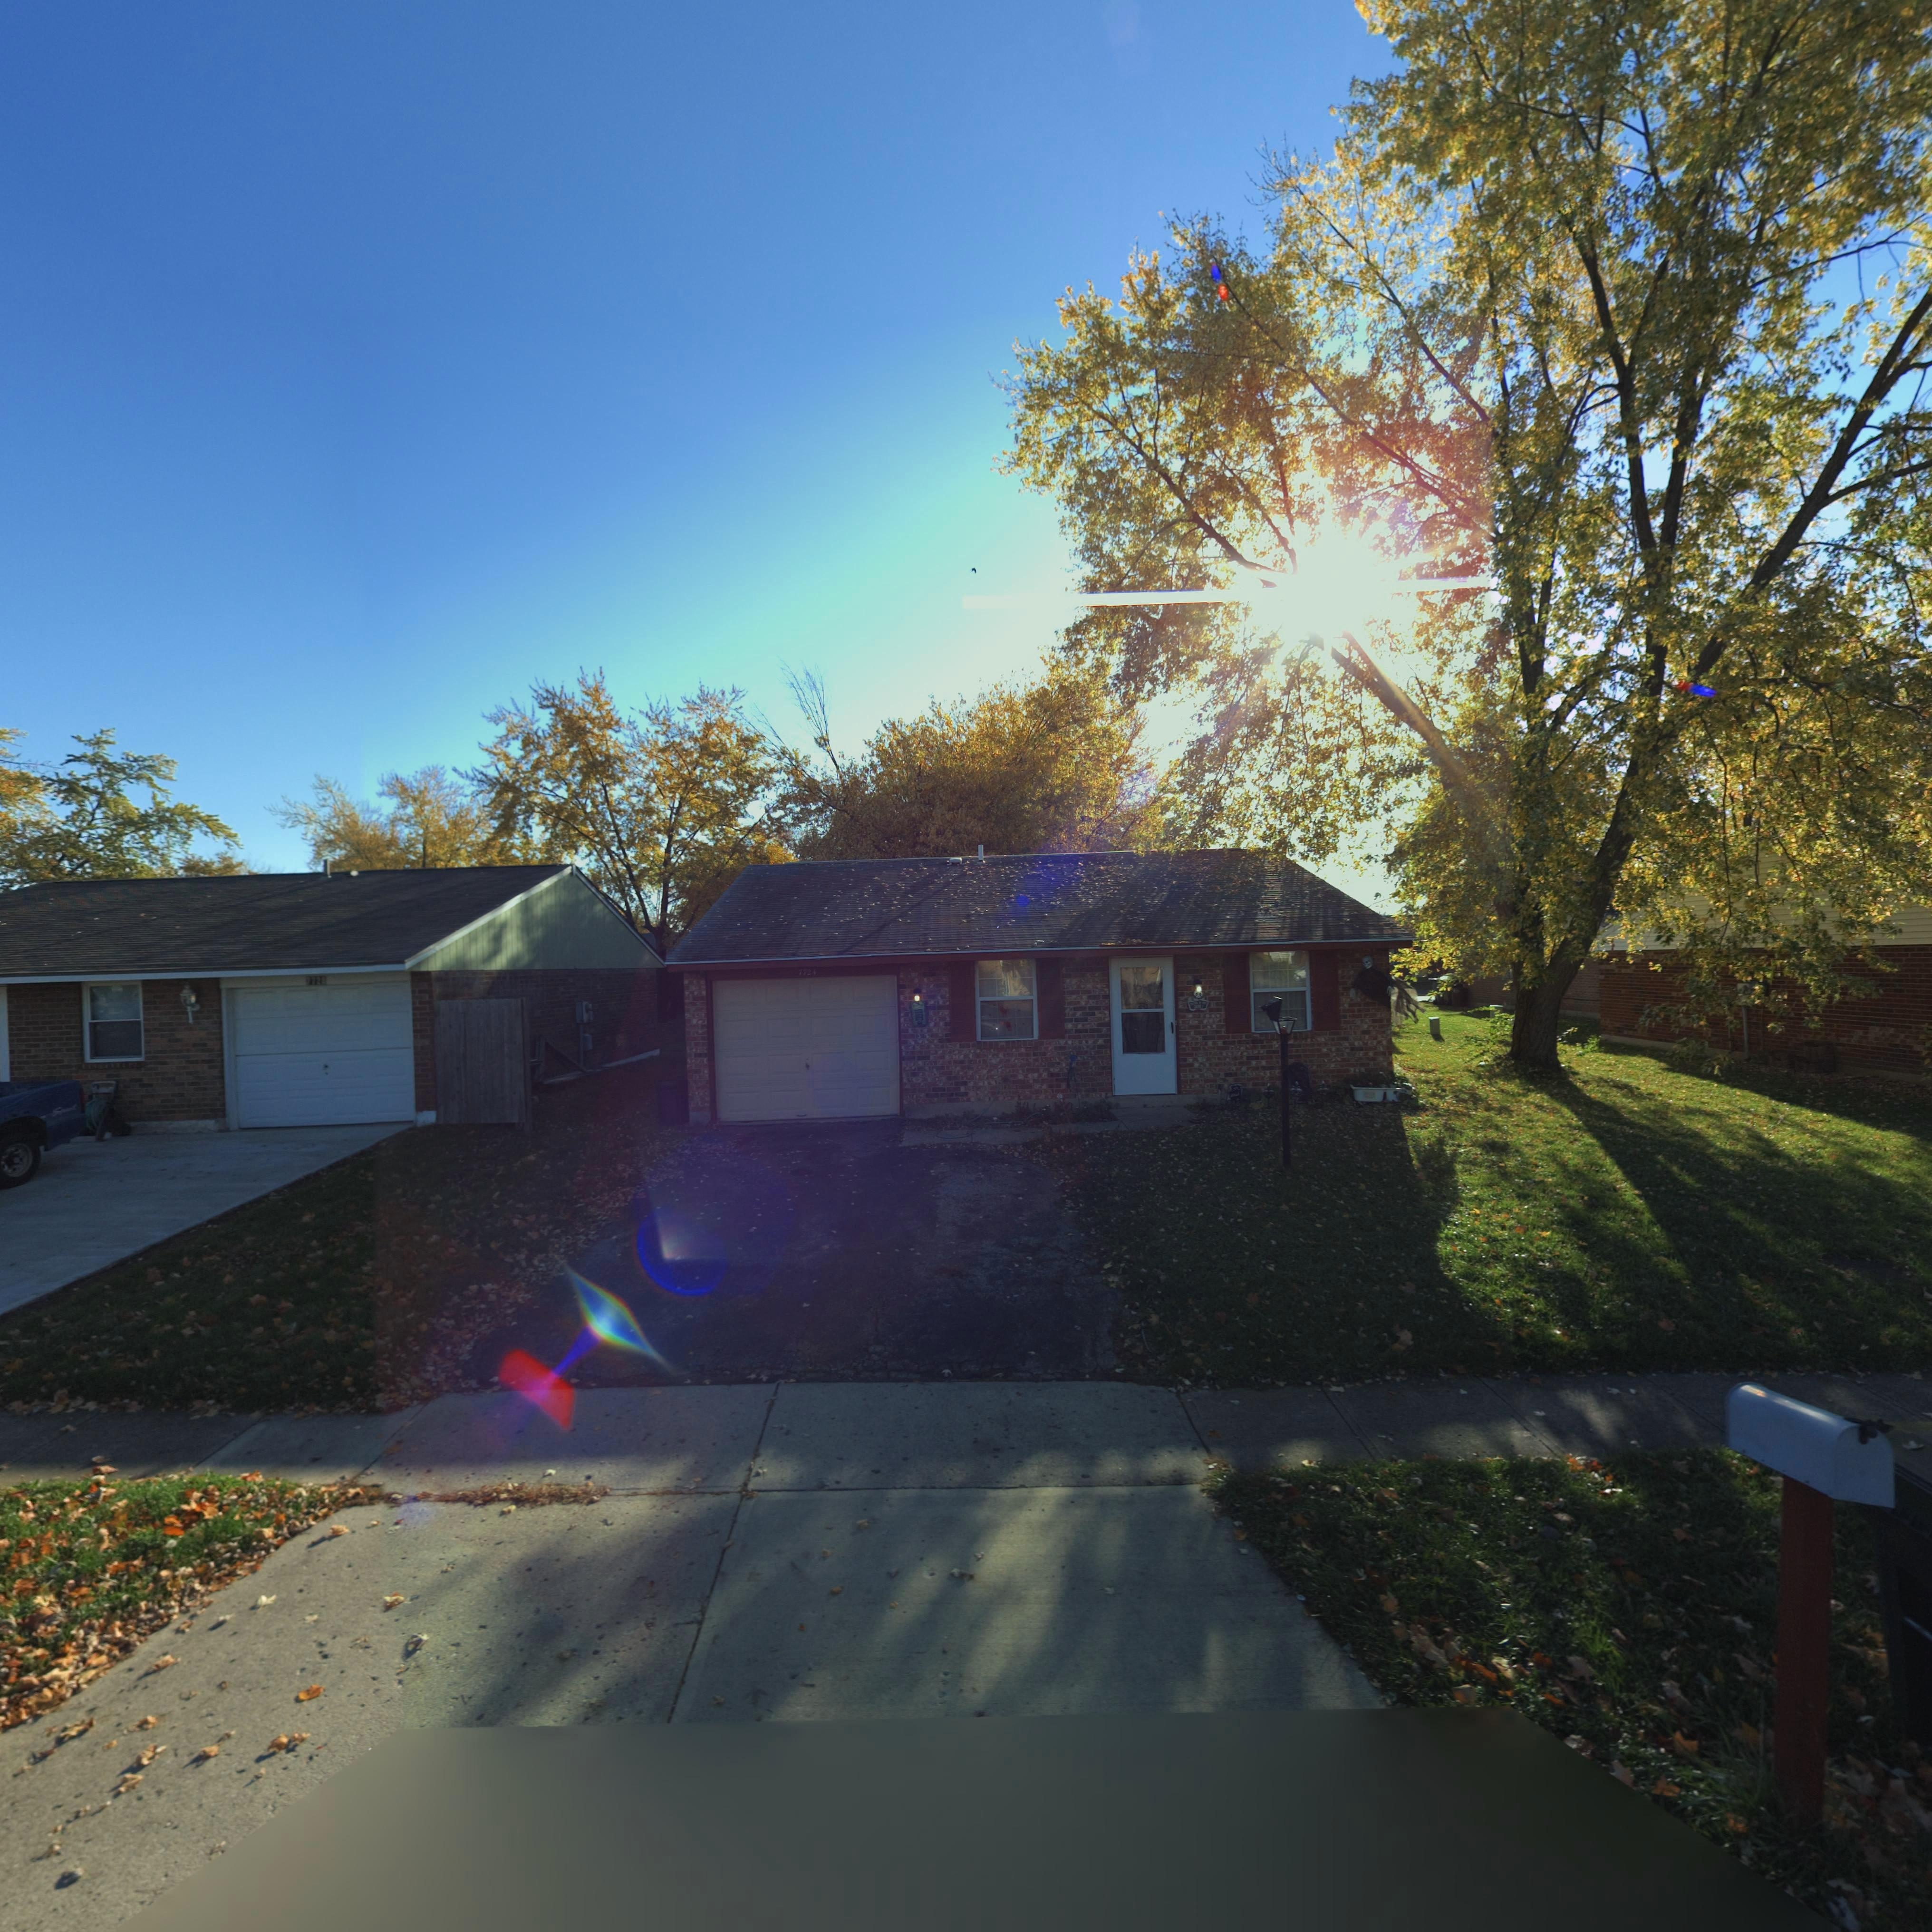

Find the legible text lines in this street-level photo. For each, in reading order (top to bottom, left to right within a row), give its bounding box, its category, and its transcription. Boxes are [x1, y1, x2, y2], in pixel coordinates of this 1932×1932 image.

[797, 967, 818, 976] StreetNumber: 7724
[304, 975, 328, 987] StreetNumber: *72*